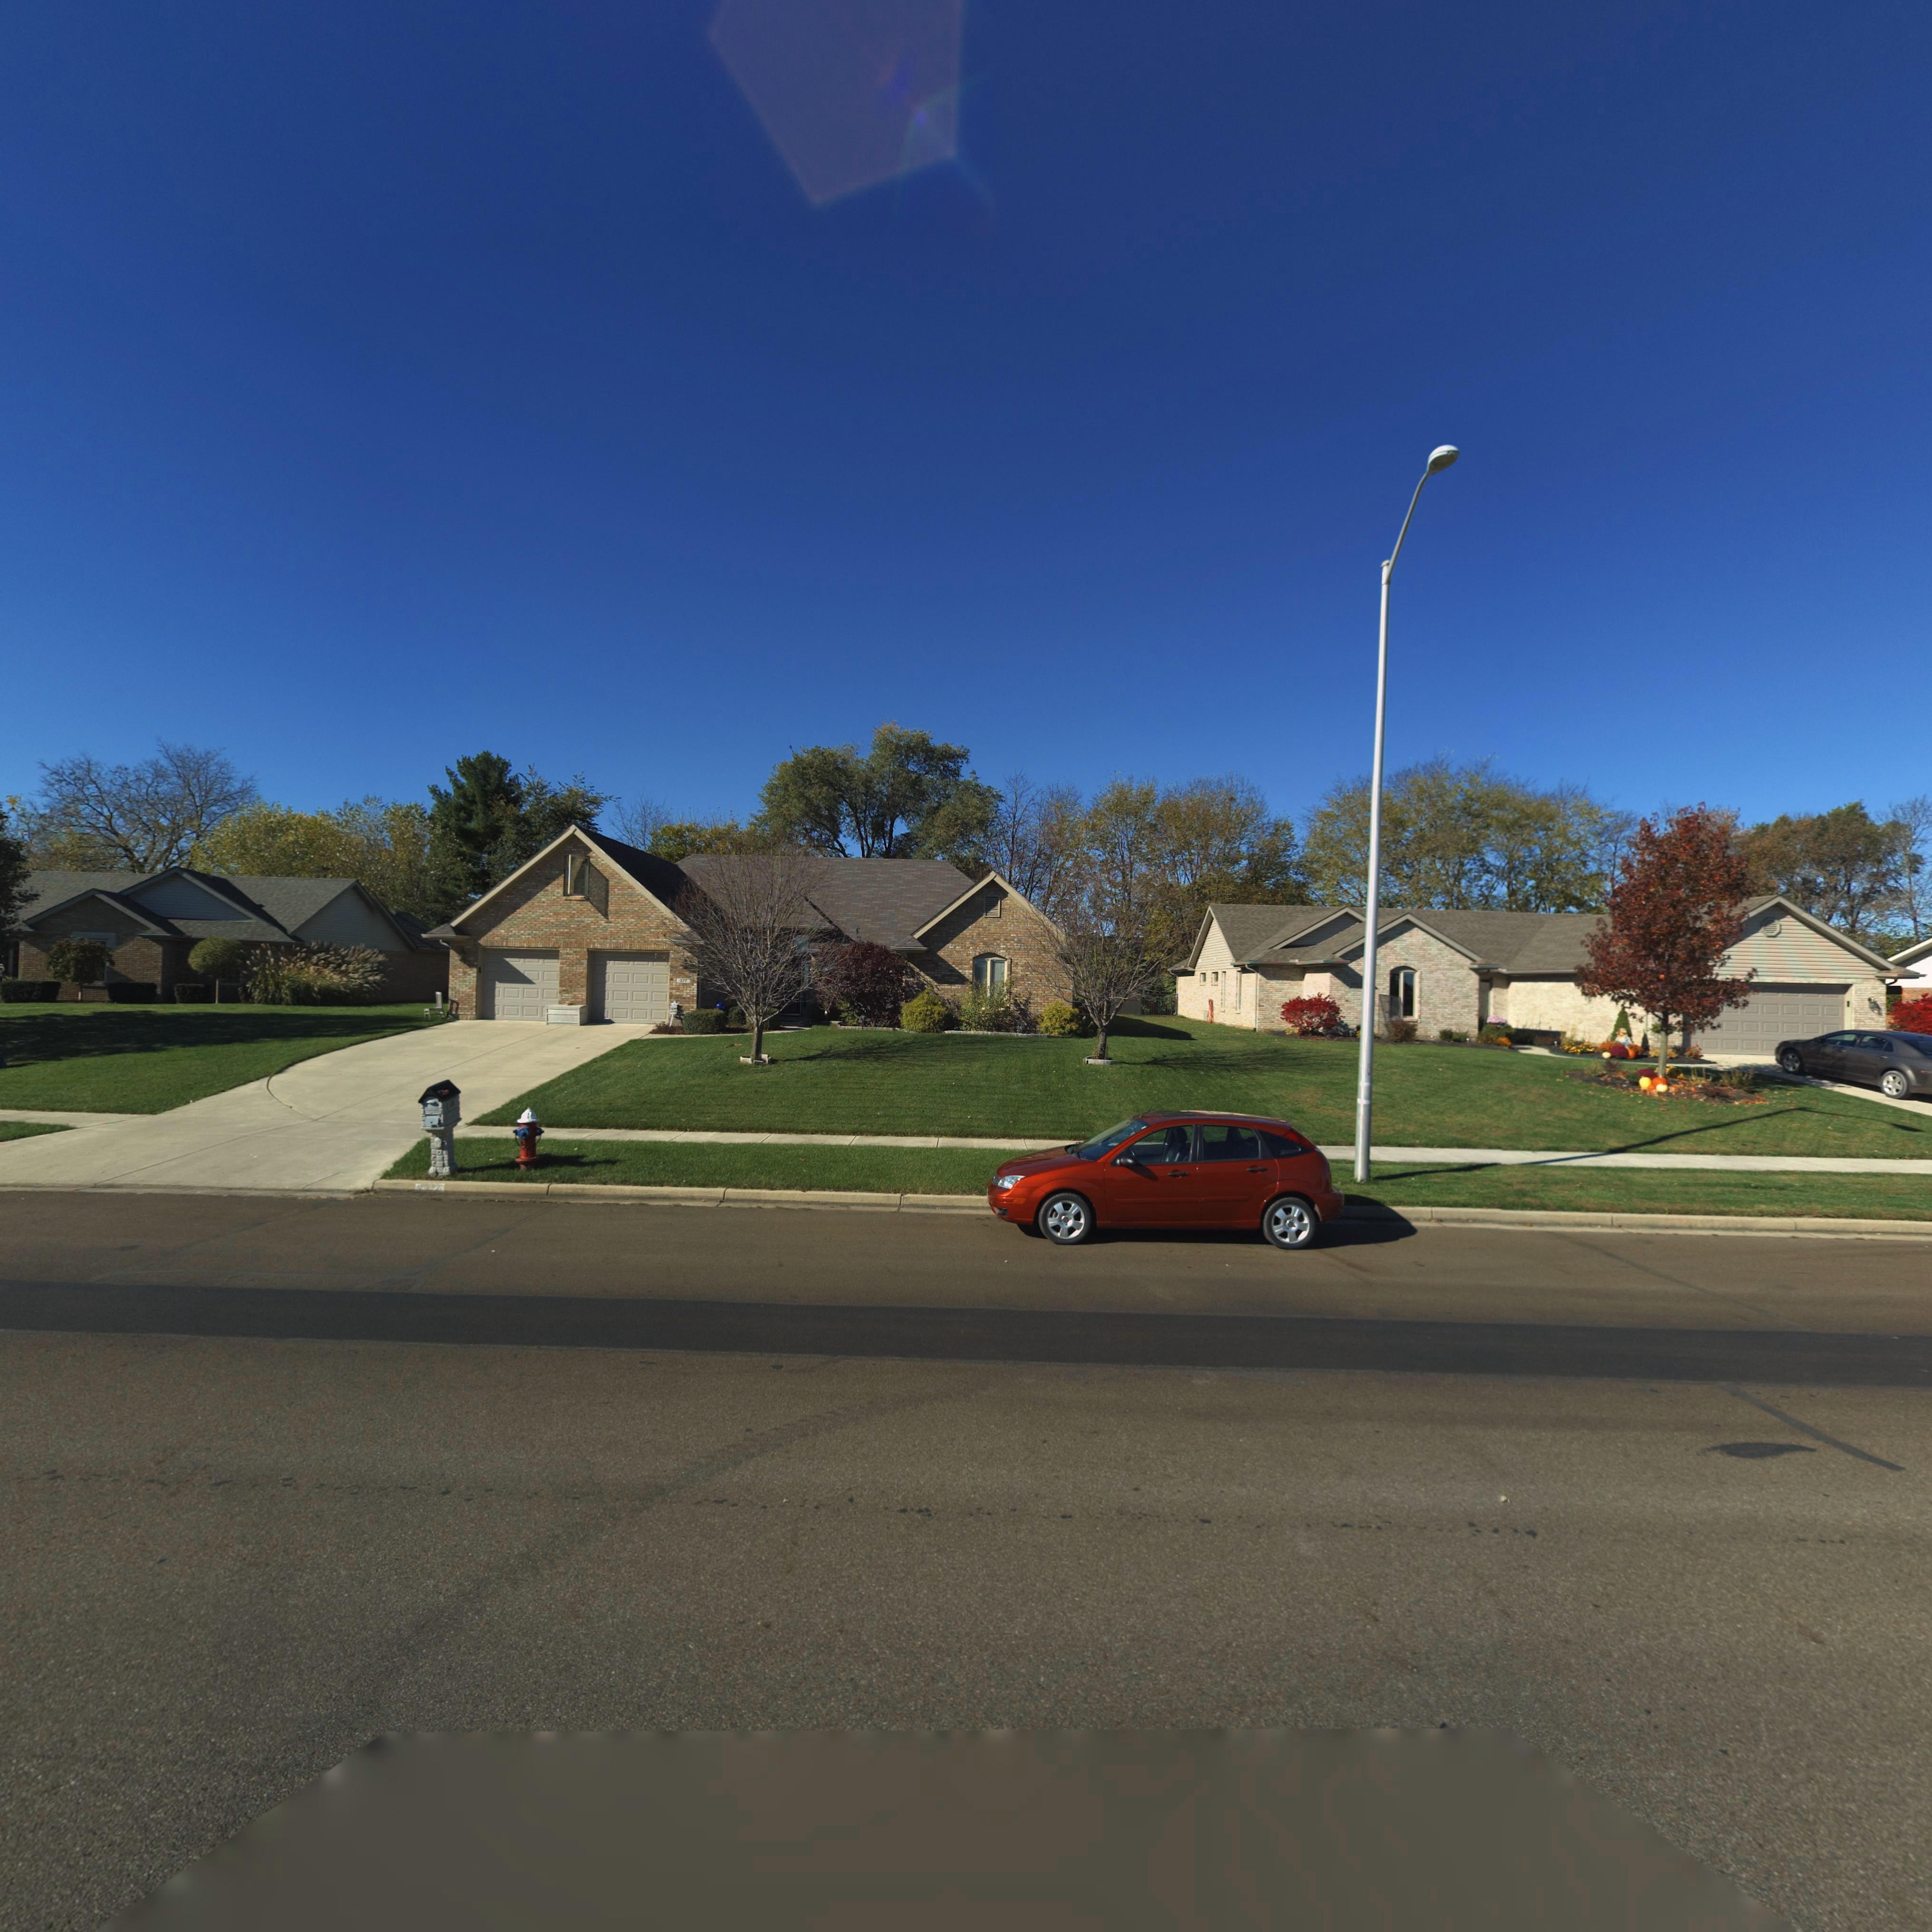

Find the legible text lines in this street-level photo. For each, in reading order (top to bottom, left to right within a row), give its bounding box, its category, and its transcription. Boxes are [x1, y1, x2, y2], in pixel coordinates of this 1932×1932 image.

[679, 978, 687, 983] StreetNumber: 377